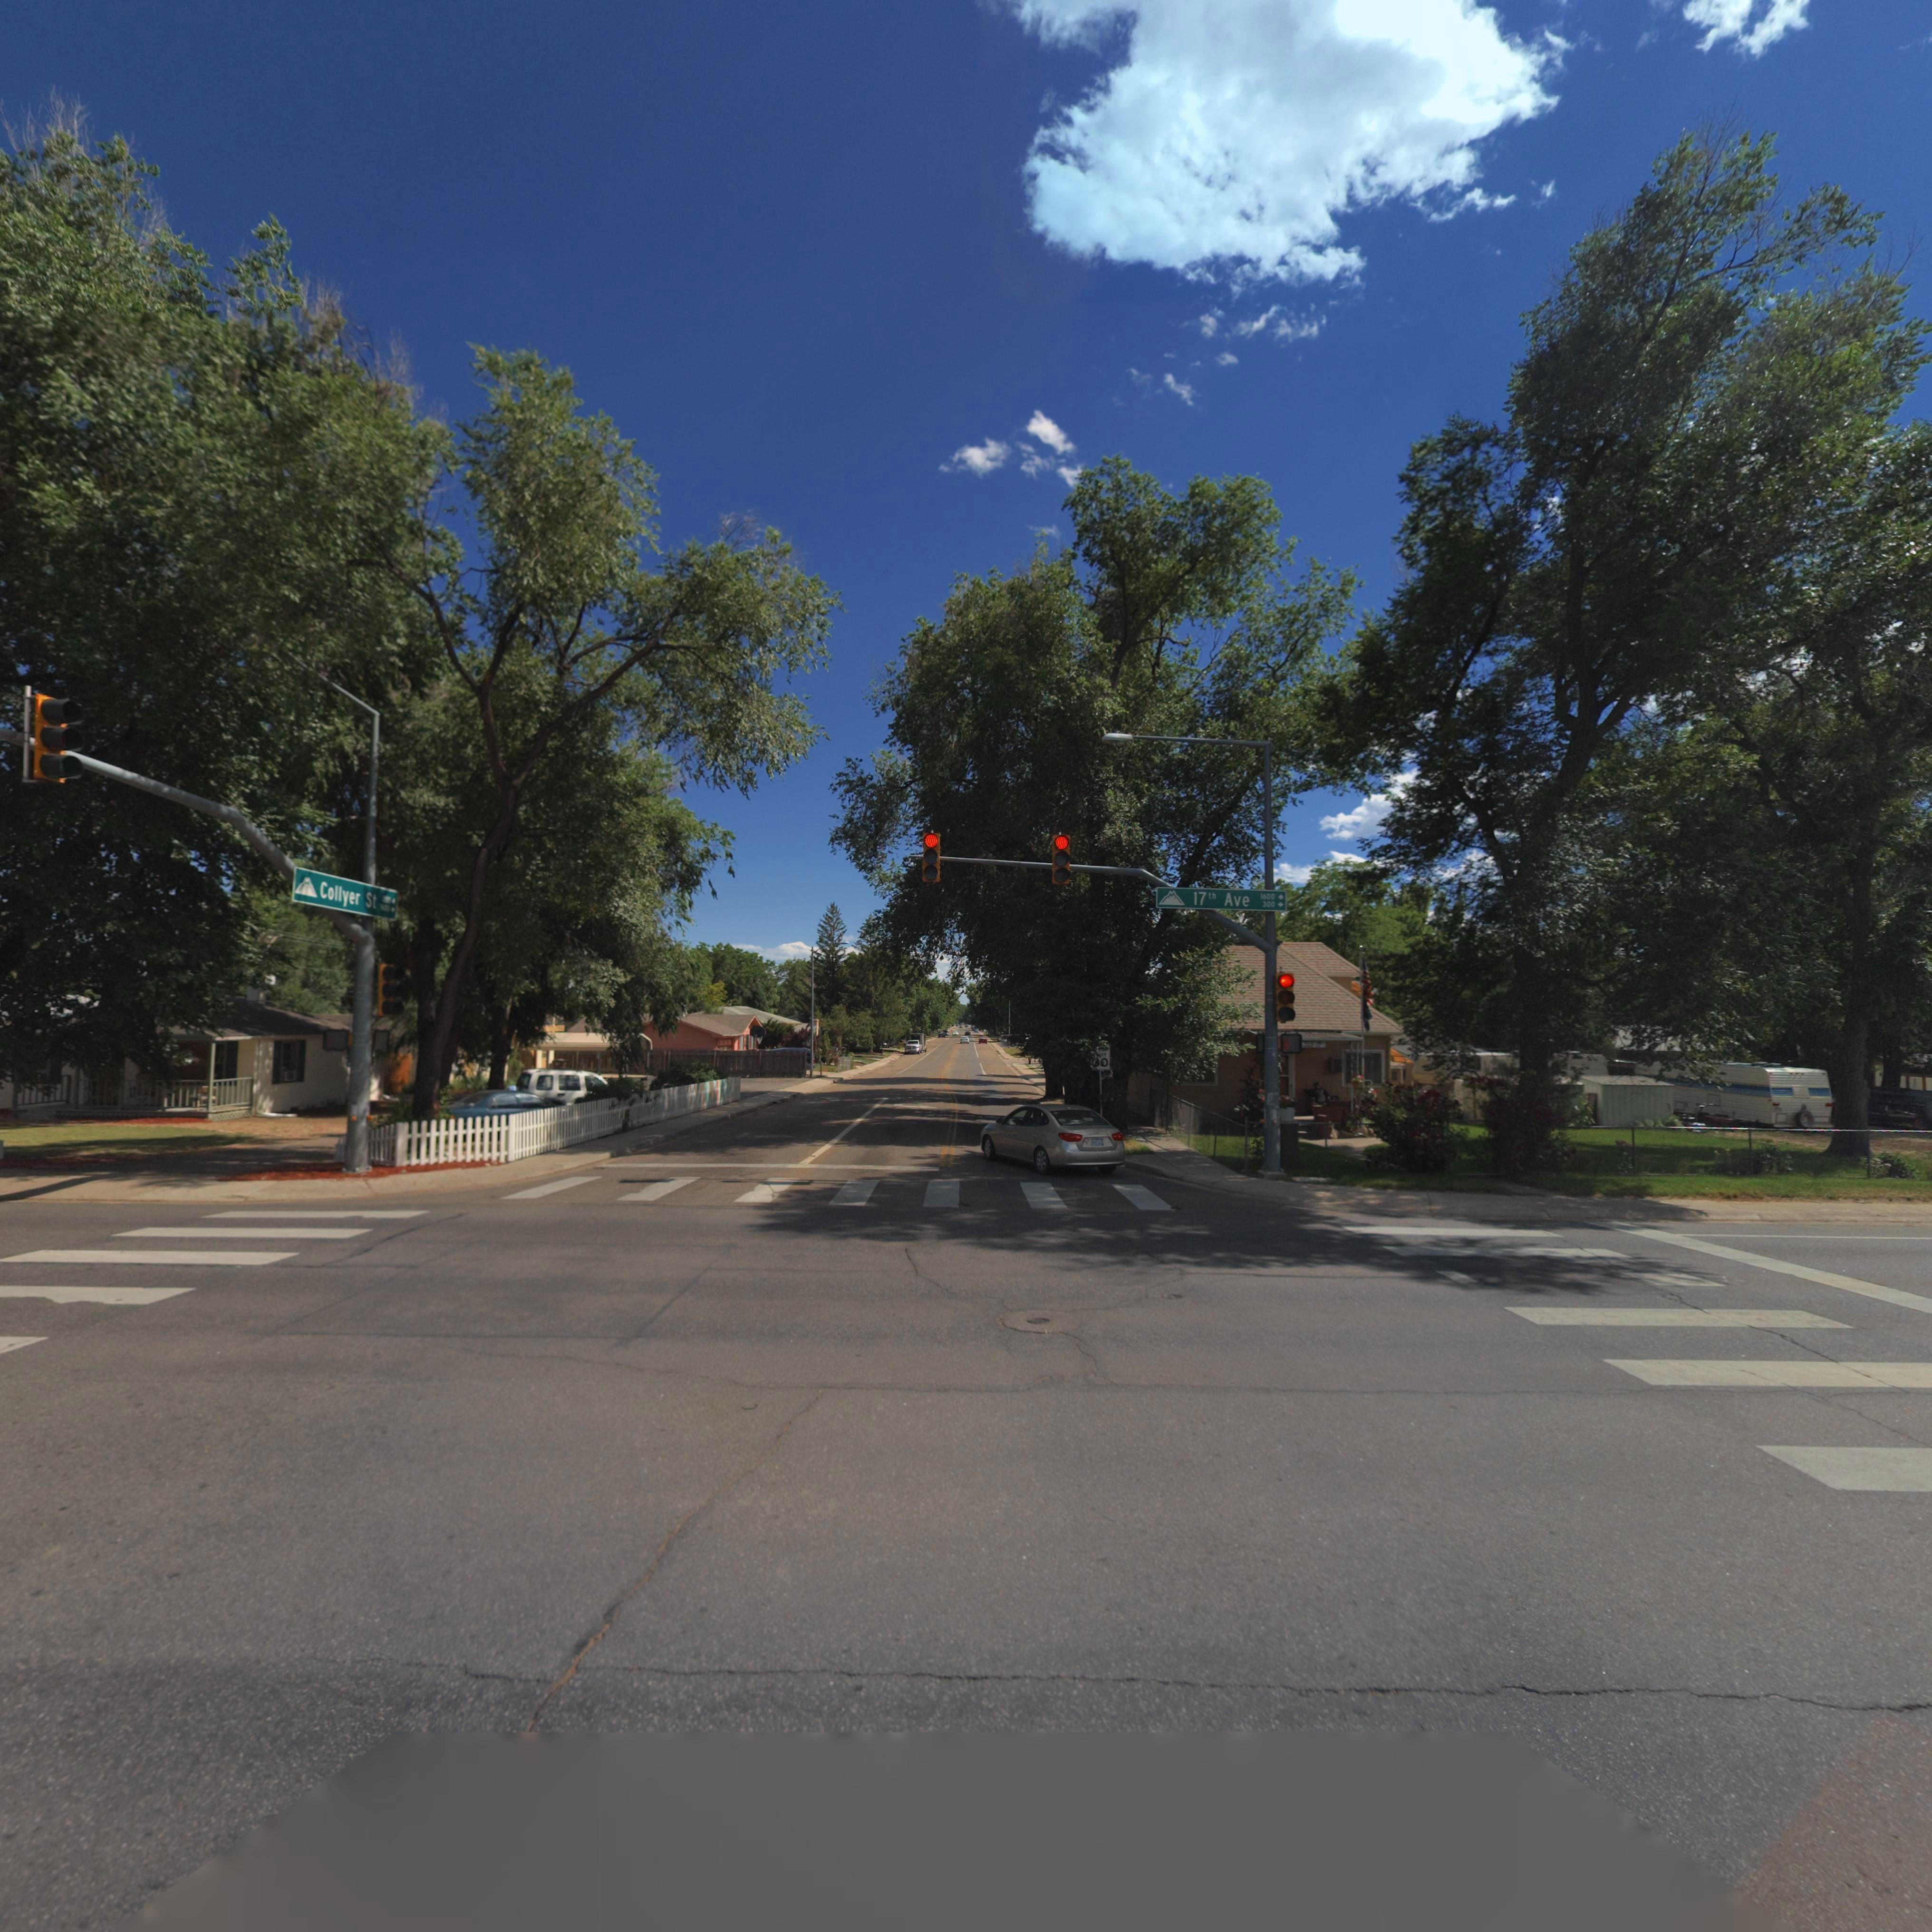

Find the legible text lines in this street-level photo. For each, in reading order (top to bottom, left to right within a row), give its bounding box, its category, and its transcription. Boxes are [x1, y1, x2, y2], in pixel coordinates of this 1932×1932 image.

[319, 880, 377, 909] StreetName: Collyer St
[1193, 891, 1250, 907] StreetName: 17th Ave
[1260, 893, 1275, 899] StreetNumberRange: 1600
[1262, 900, 1285, 908] StreetNumberRange: 300->
[1302, 1042, 1314, 1047] StreetNumber: 303
[1314, 1041, 1322, 1048] StreetName: 17